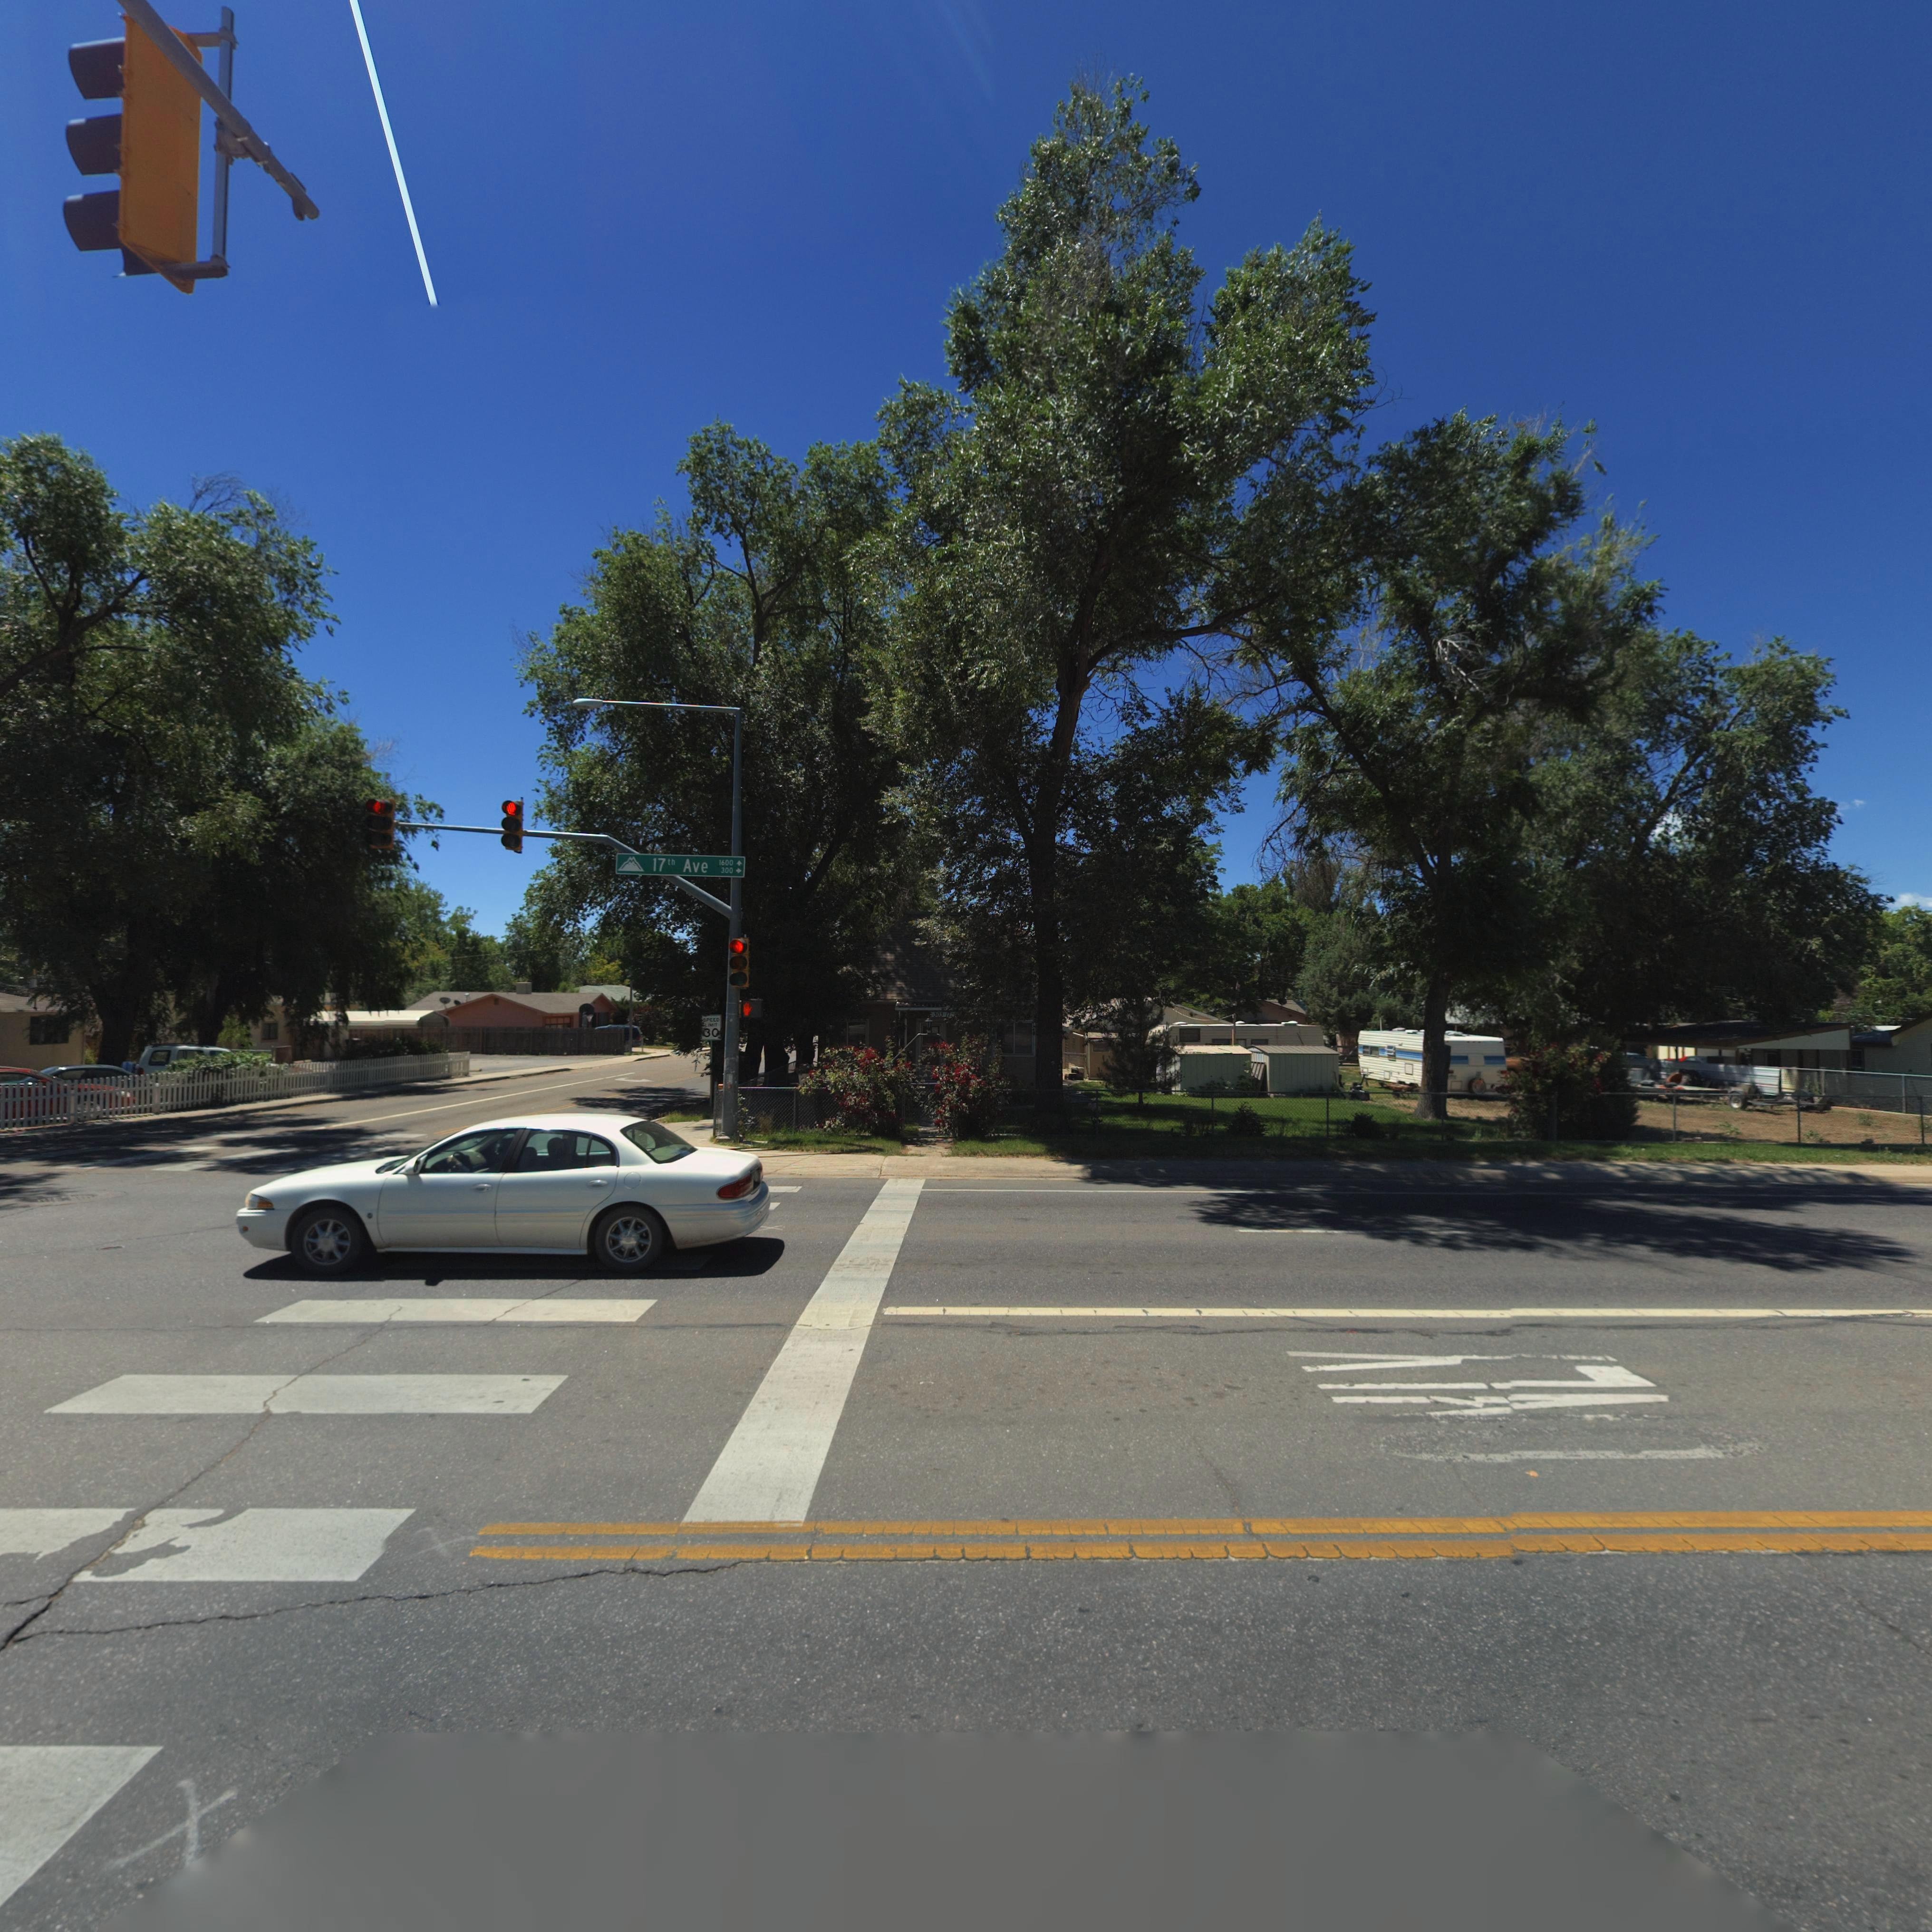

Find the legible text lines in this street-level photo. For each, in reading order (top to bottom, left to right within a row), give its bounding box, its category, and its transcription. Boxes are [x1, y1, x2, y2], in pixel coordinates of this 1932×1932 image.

[652, 857, 708, 873] StreetName: 17th Ave
[719, 859, 733, 866] StreetNumberRange: 1600
[720, 867, 742, 874] StreetNumberRange: 300->
[933, 1012, 951, 1017] StreetNumber: 303-17